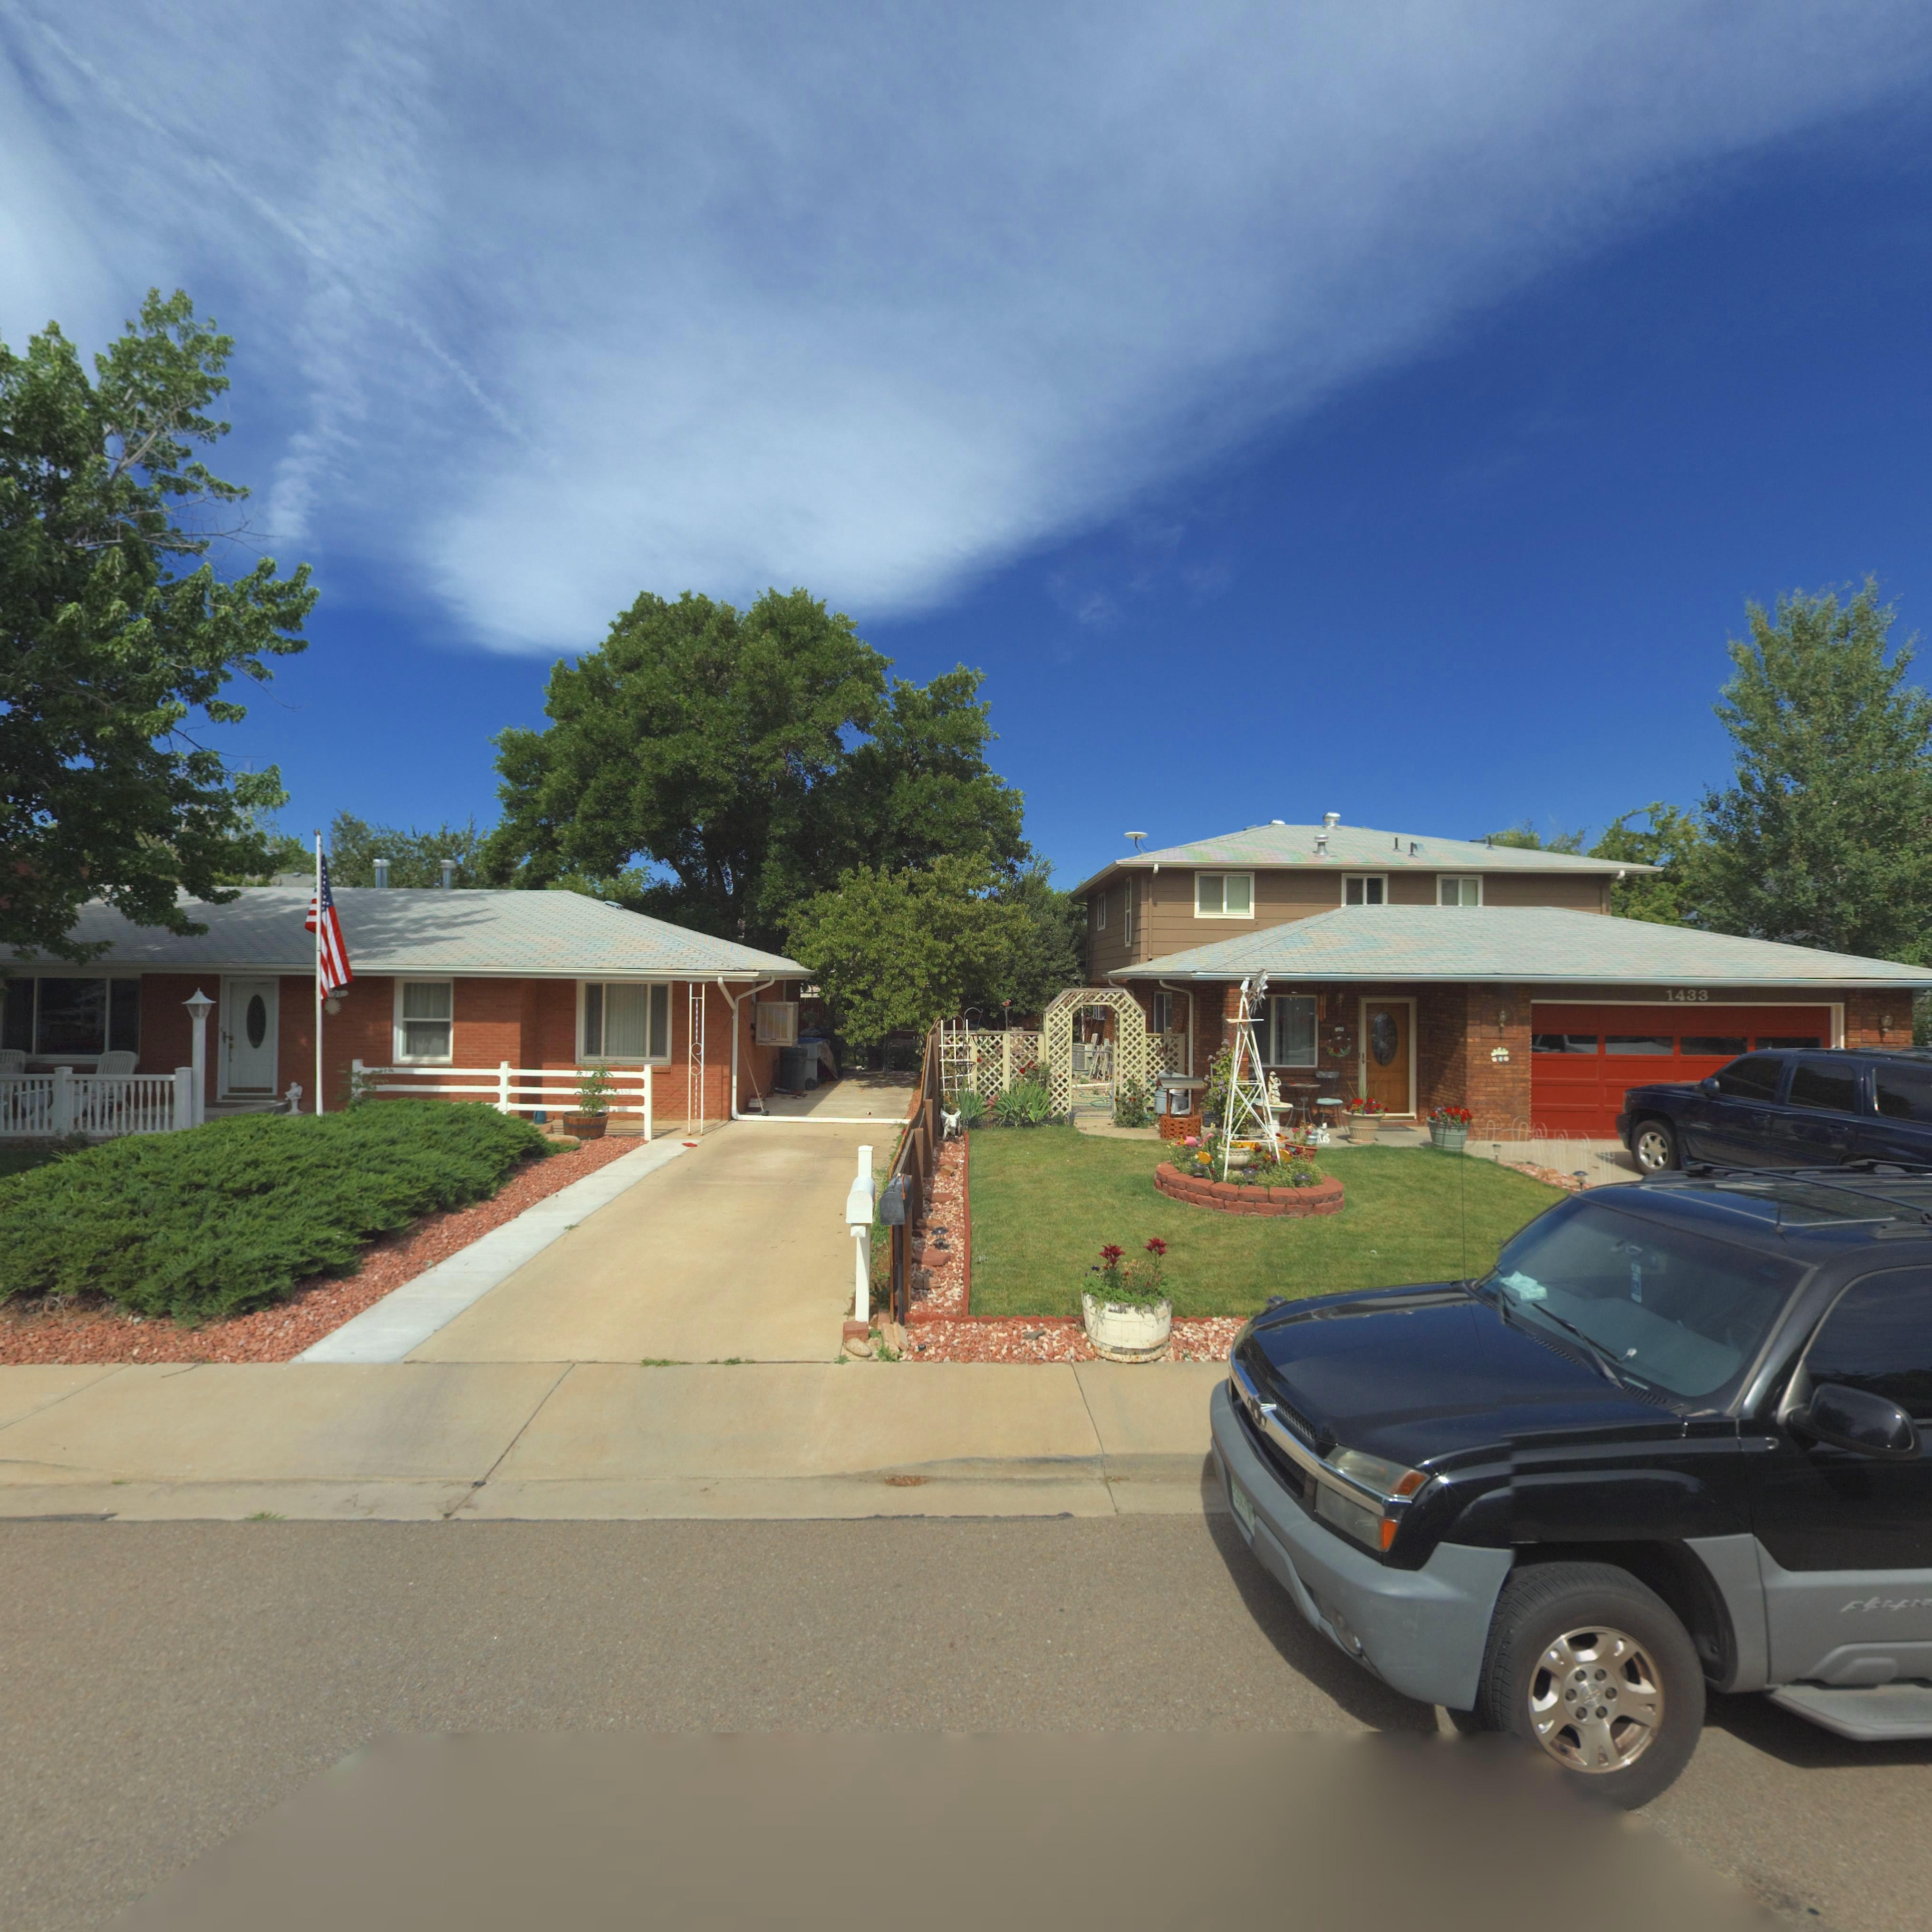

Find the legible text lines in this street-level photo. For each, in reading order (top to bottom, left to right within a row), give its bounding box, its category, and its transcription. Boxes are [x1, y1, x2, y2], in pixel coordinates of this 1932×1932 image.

[333, 990, 341, 997] StreetNumber: **21
[1665, 988, 1709, 1002] StreetNumber: 1433